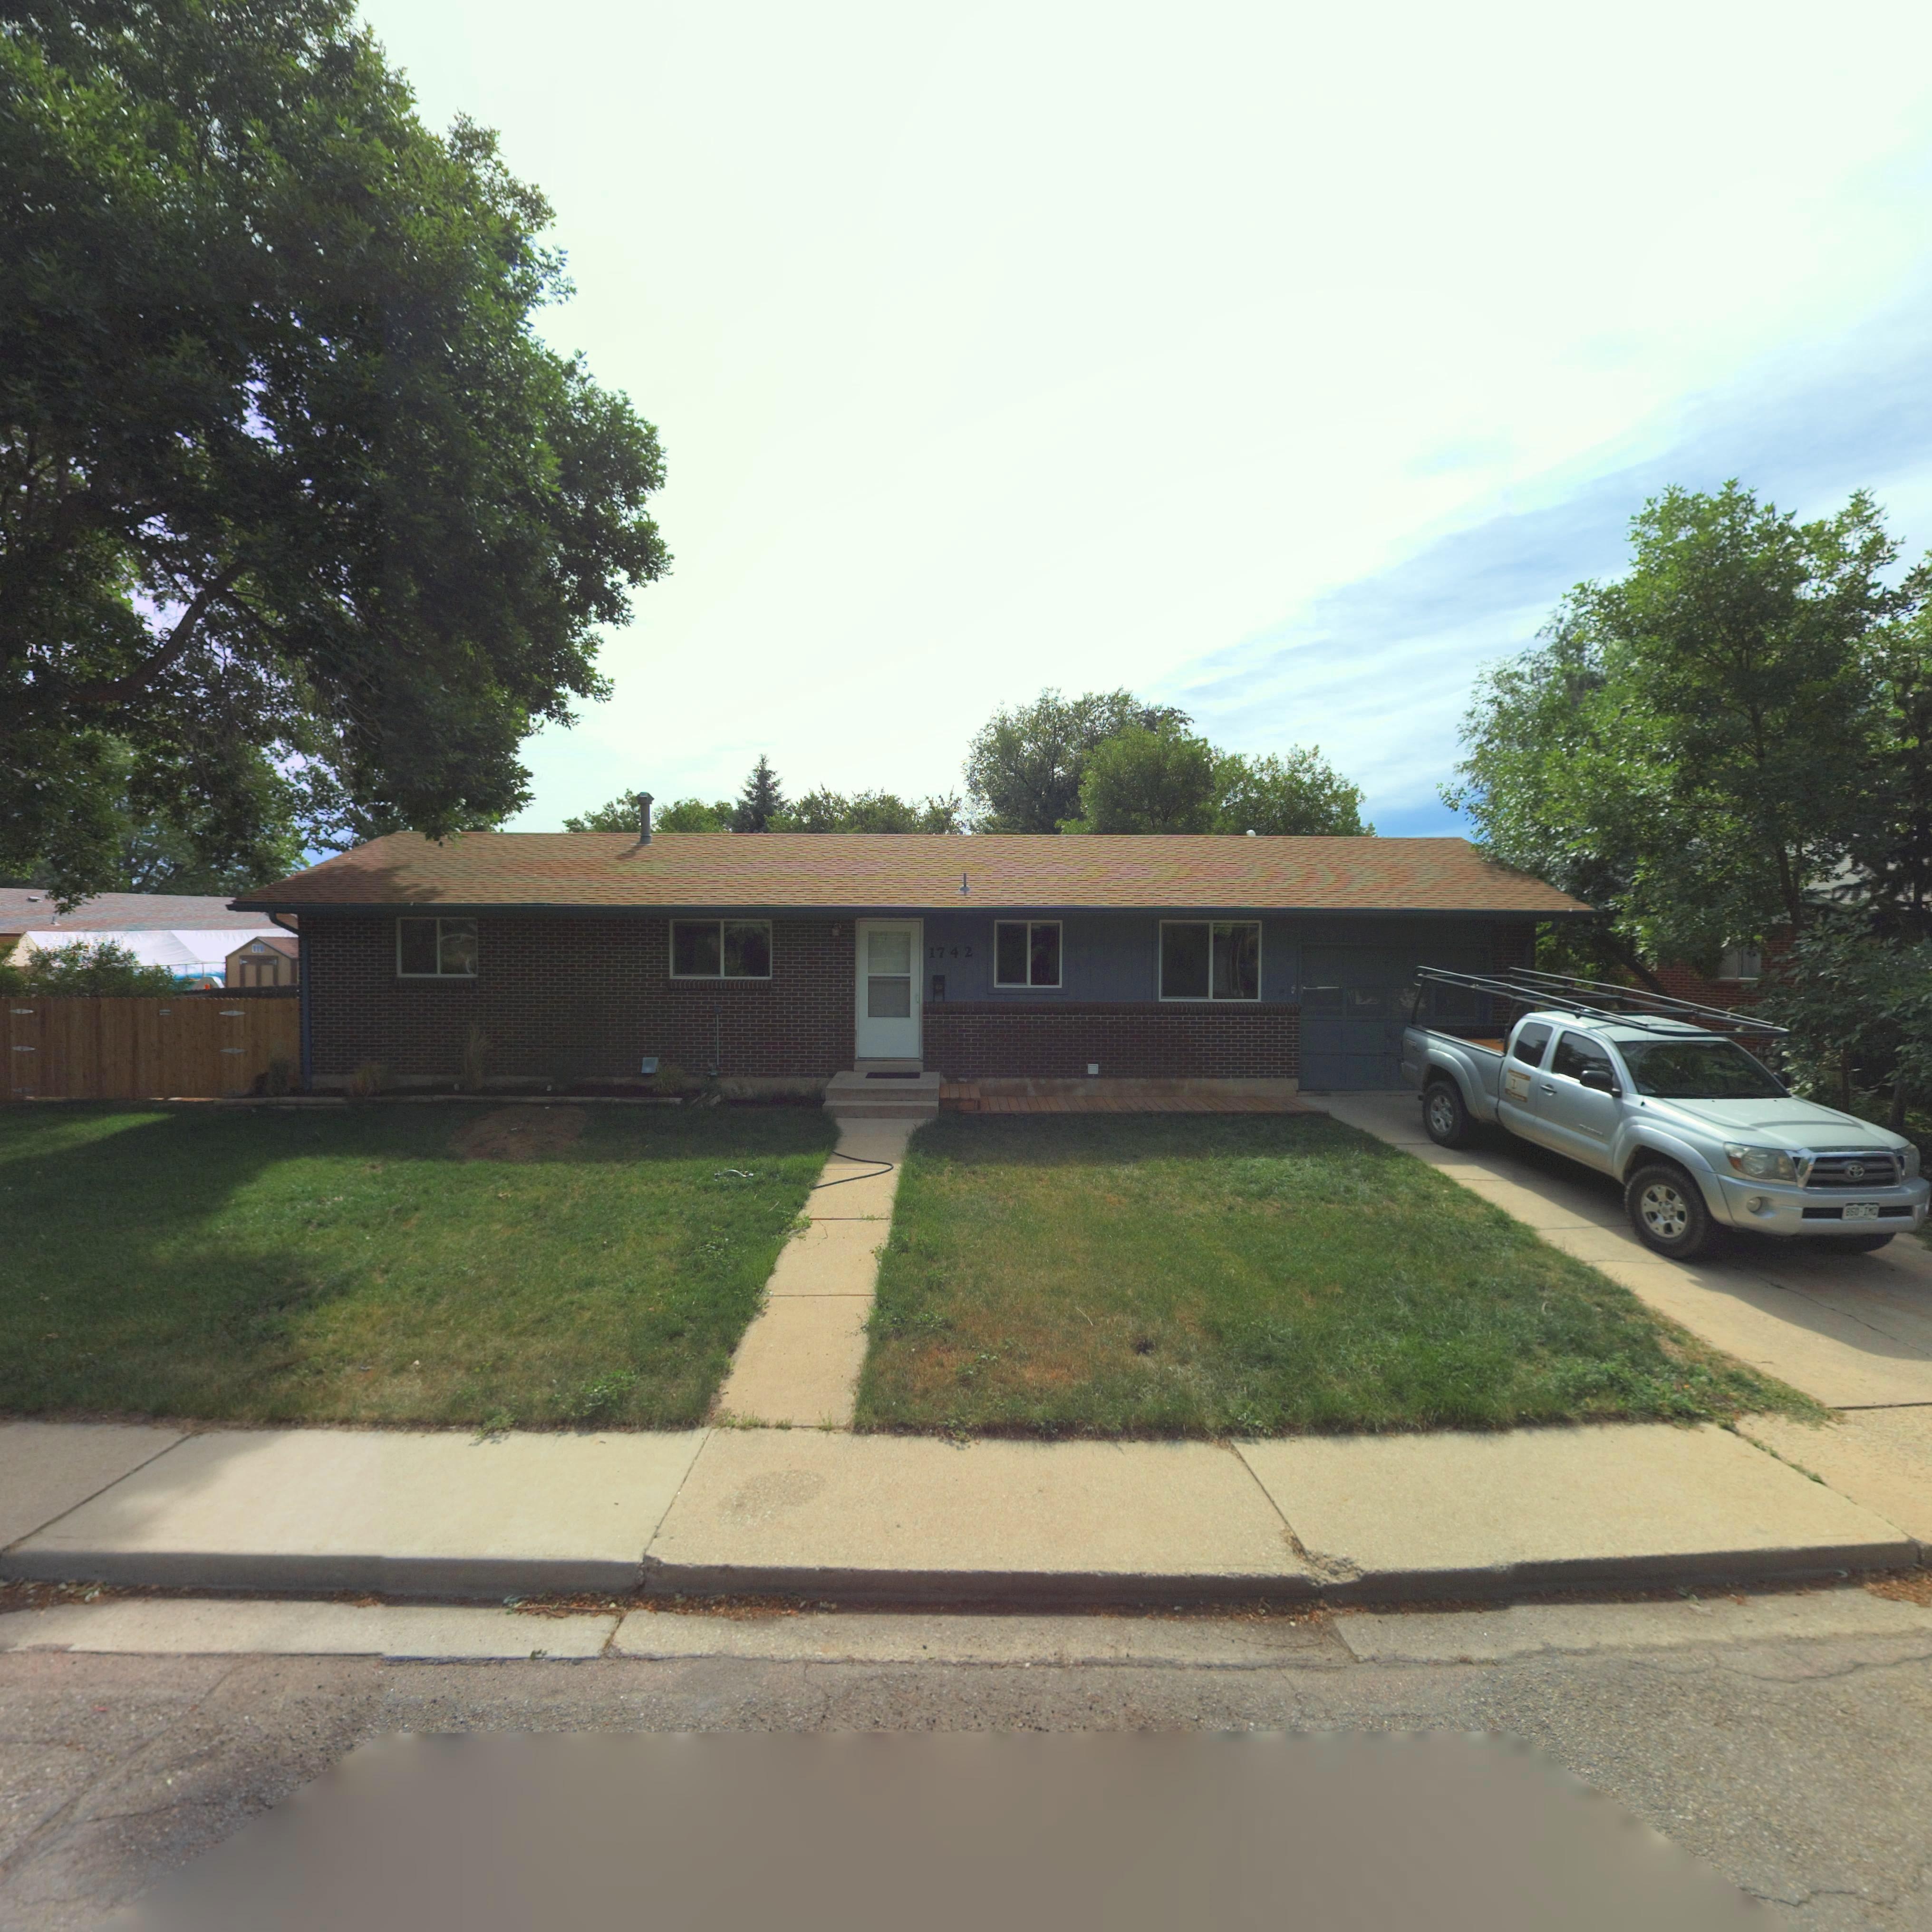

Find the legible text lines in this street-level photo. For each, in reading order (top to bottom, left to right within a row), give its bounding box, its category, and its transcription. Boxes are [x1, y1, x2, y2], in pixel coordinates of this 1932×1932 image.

[927, 945, 973, 959] StreetNumber: 1742